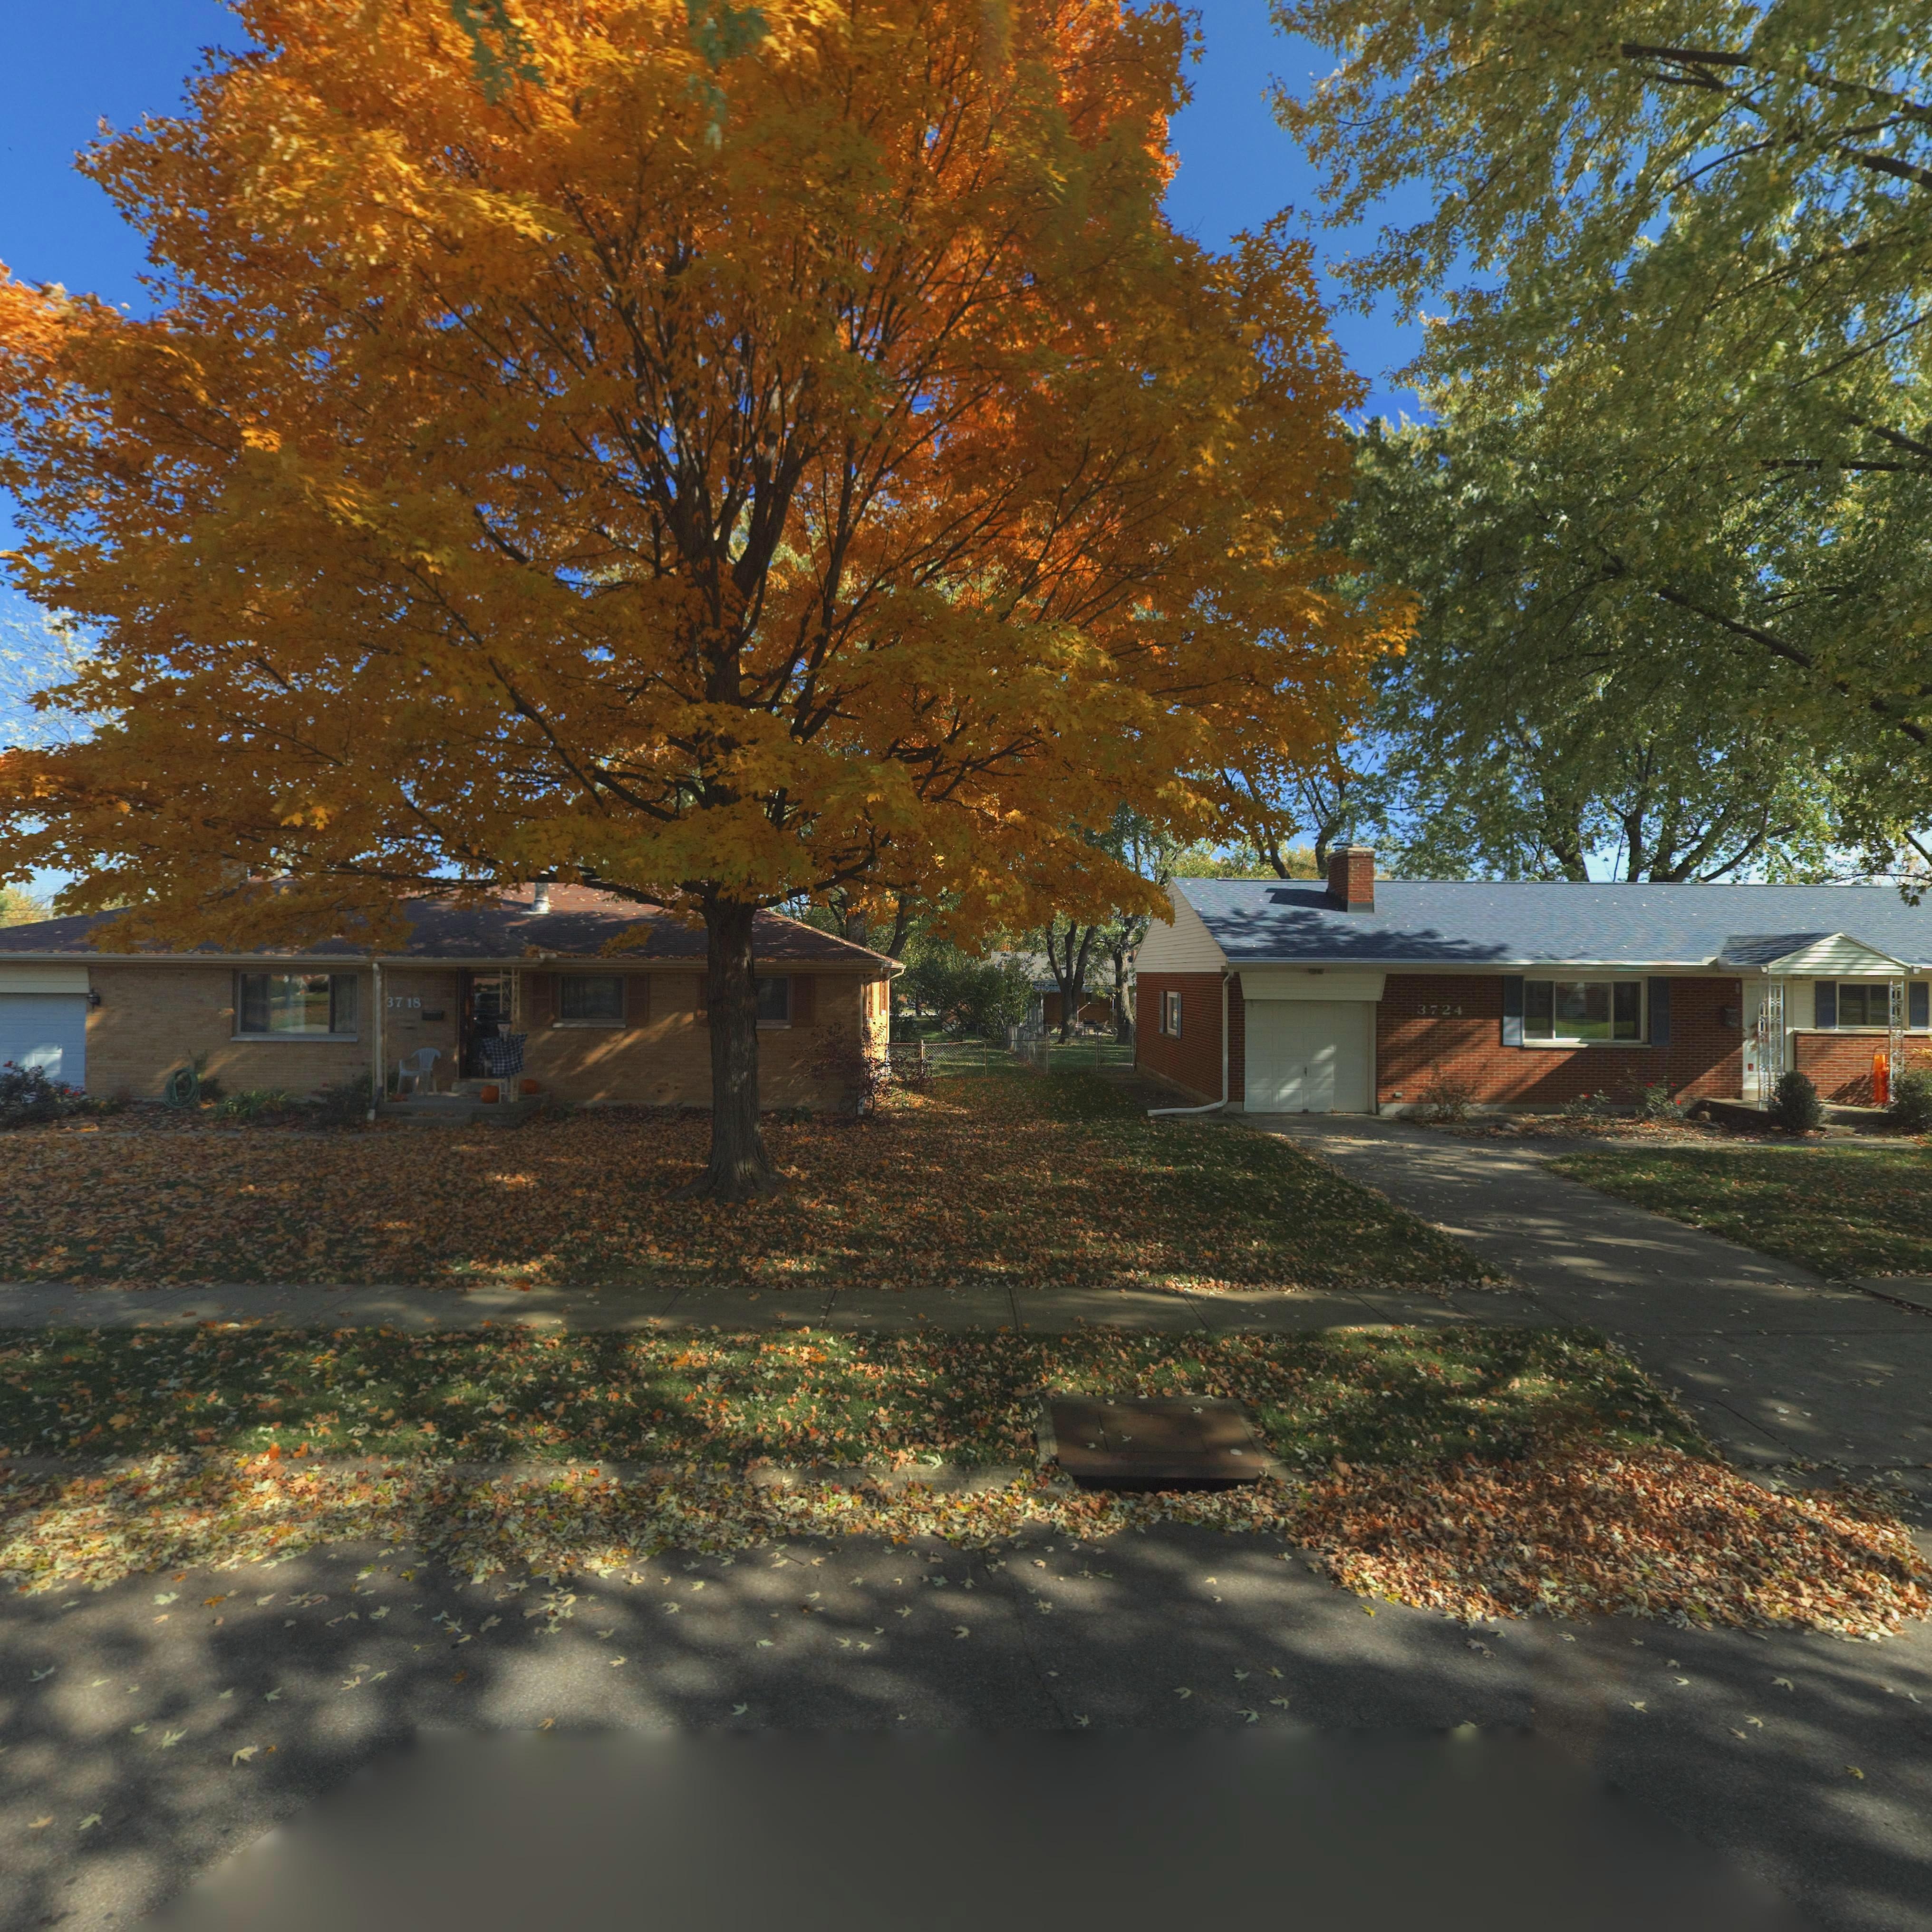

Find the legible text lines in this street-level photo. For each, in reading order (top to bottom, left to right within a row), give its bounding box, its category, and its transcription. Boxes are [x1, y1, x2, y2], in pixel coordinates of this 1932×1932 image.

[386, 995, 423, 1010] StreetNumber: 3718
[1415, 1003, 1464, 1017] StreetNumber: 3724